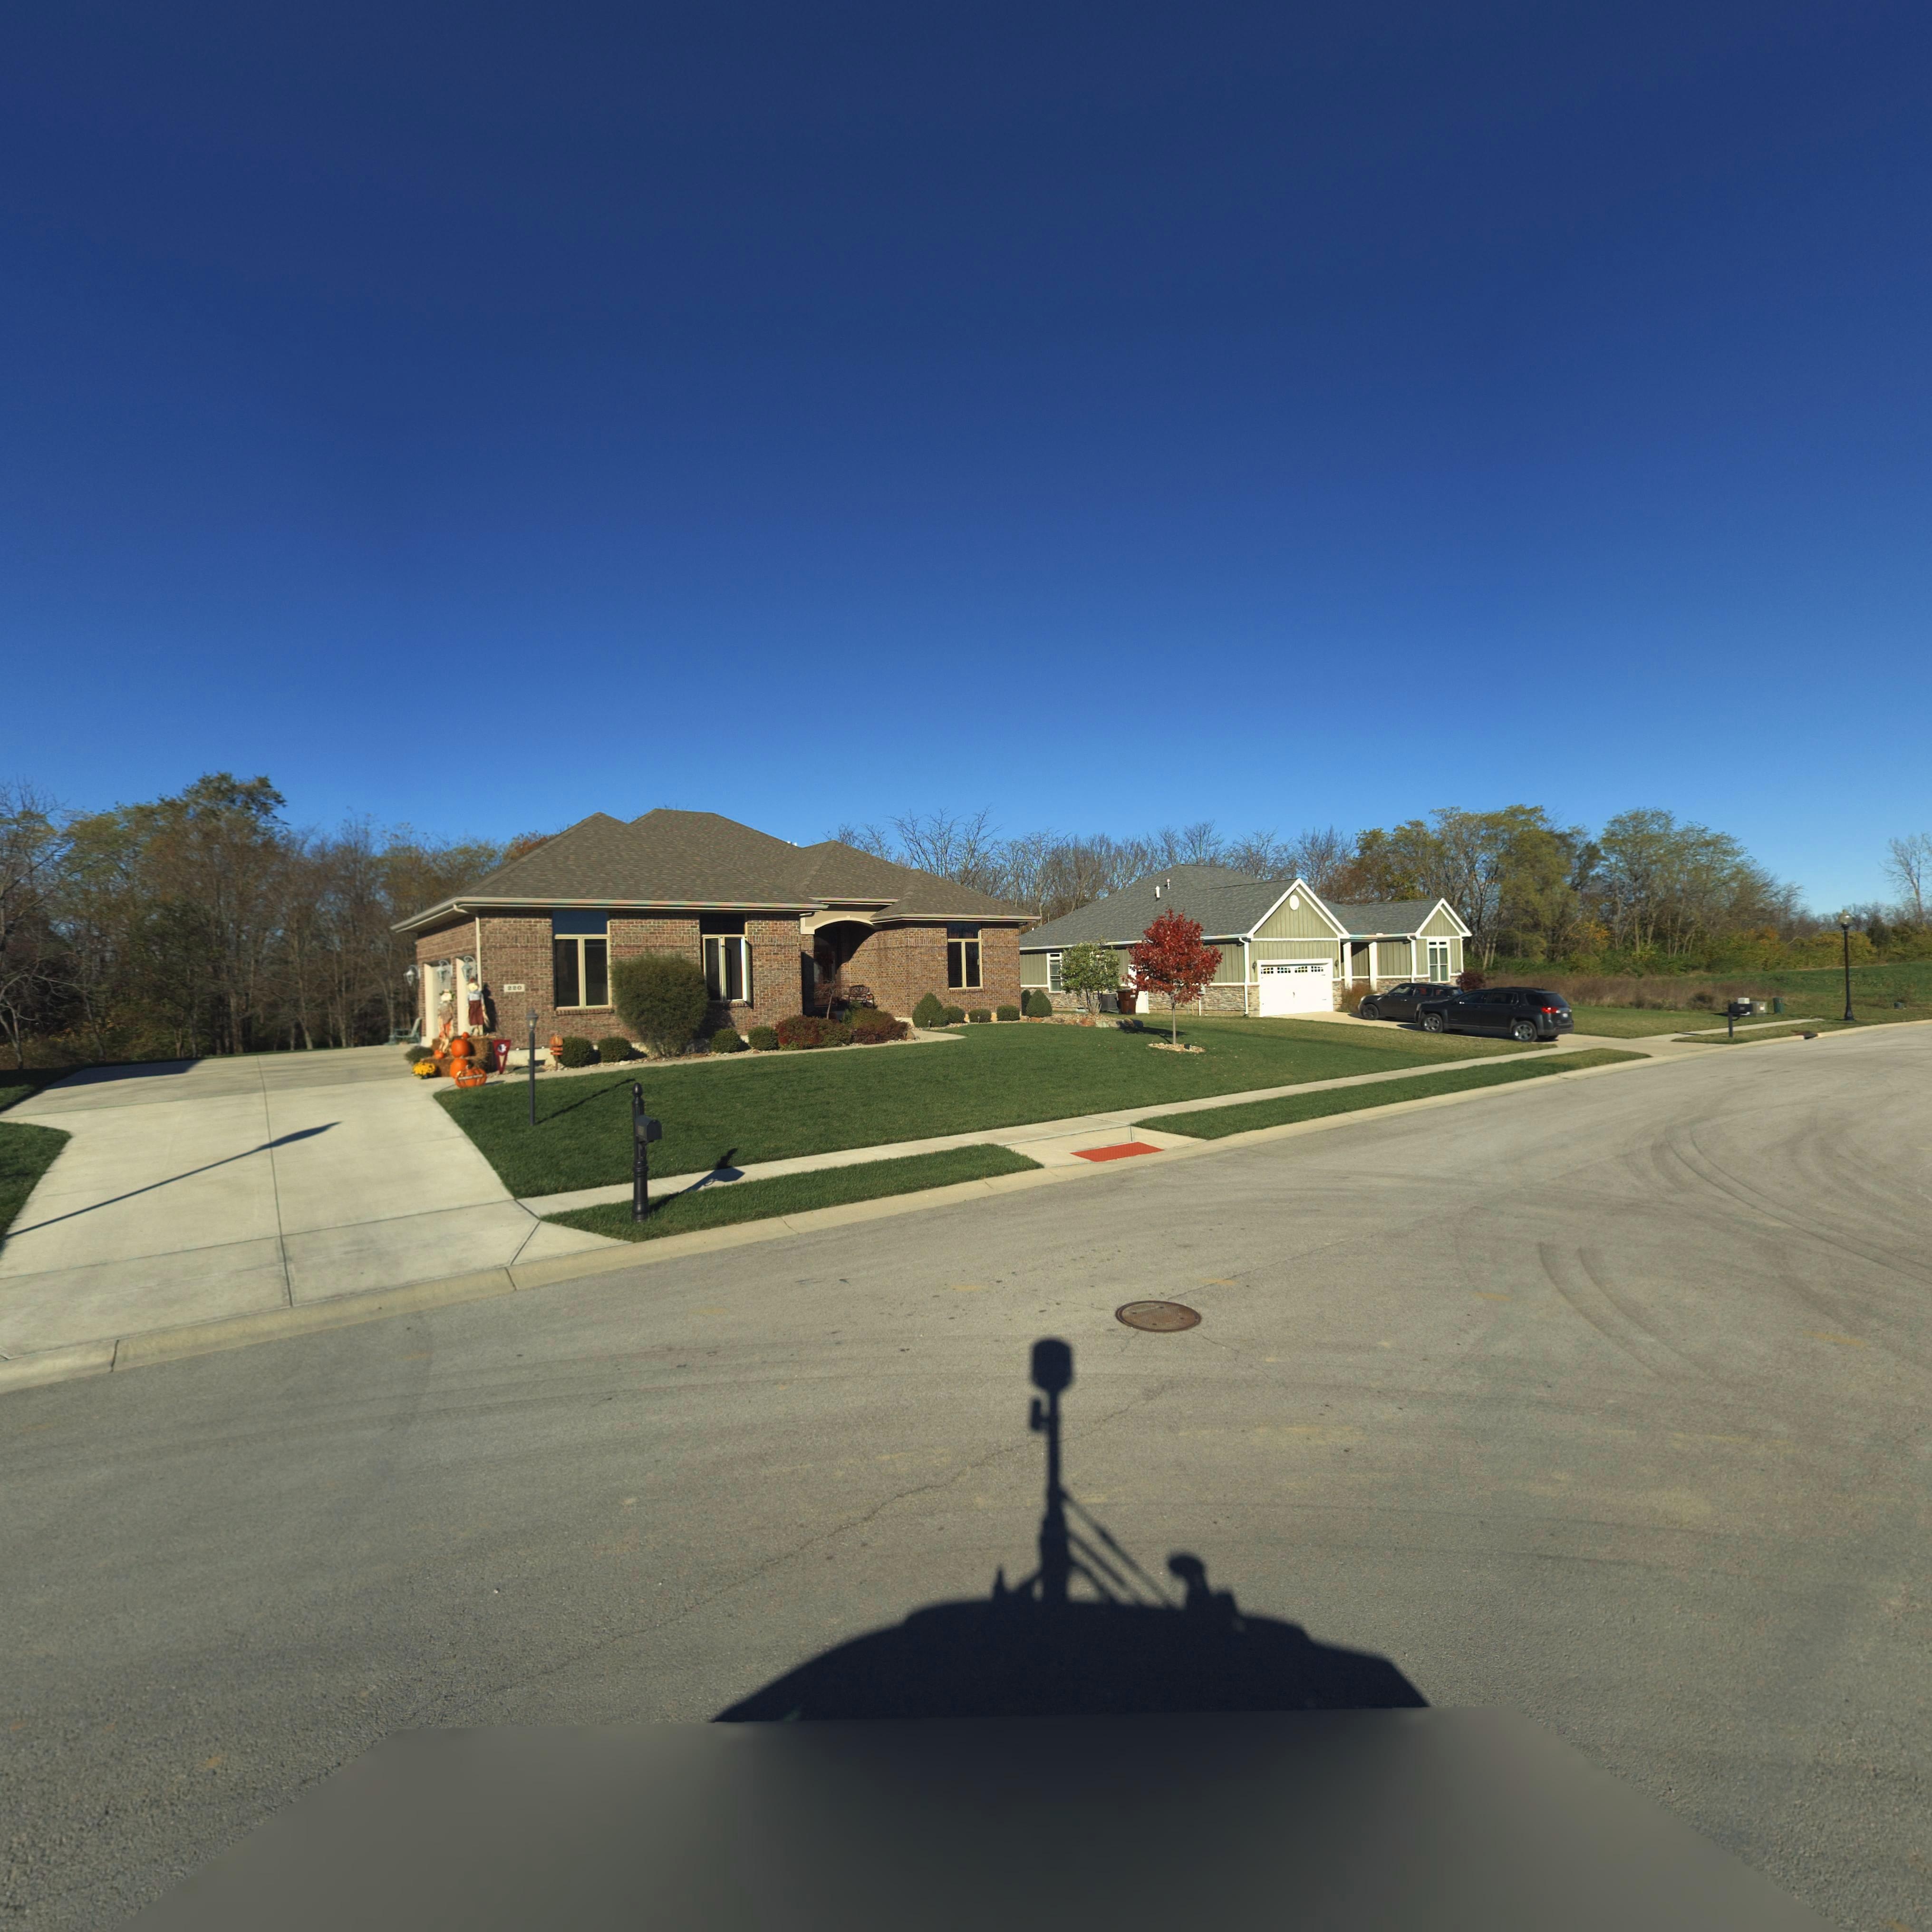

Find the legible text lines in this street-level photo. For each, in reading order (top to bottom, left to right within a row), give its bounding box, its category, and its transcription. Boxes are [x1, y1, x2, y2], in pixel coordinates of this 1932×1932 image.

[506, 984, 523, 992] StreetNumber: 220